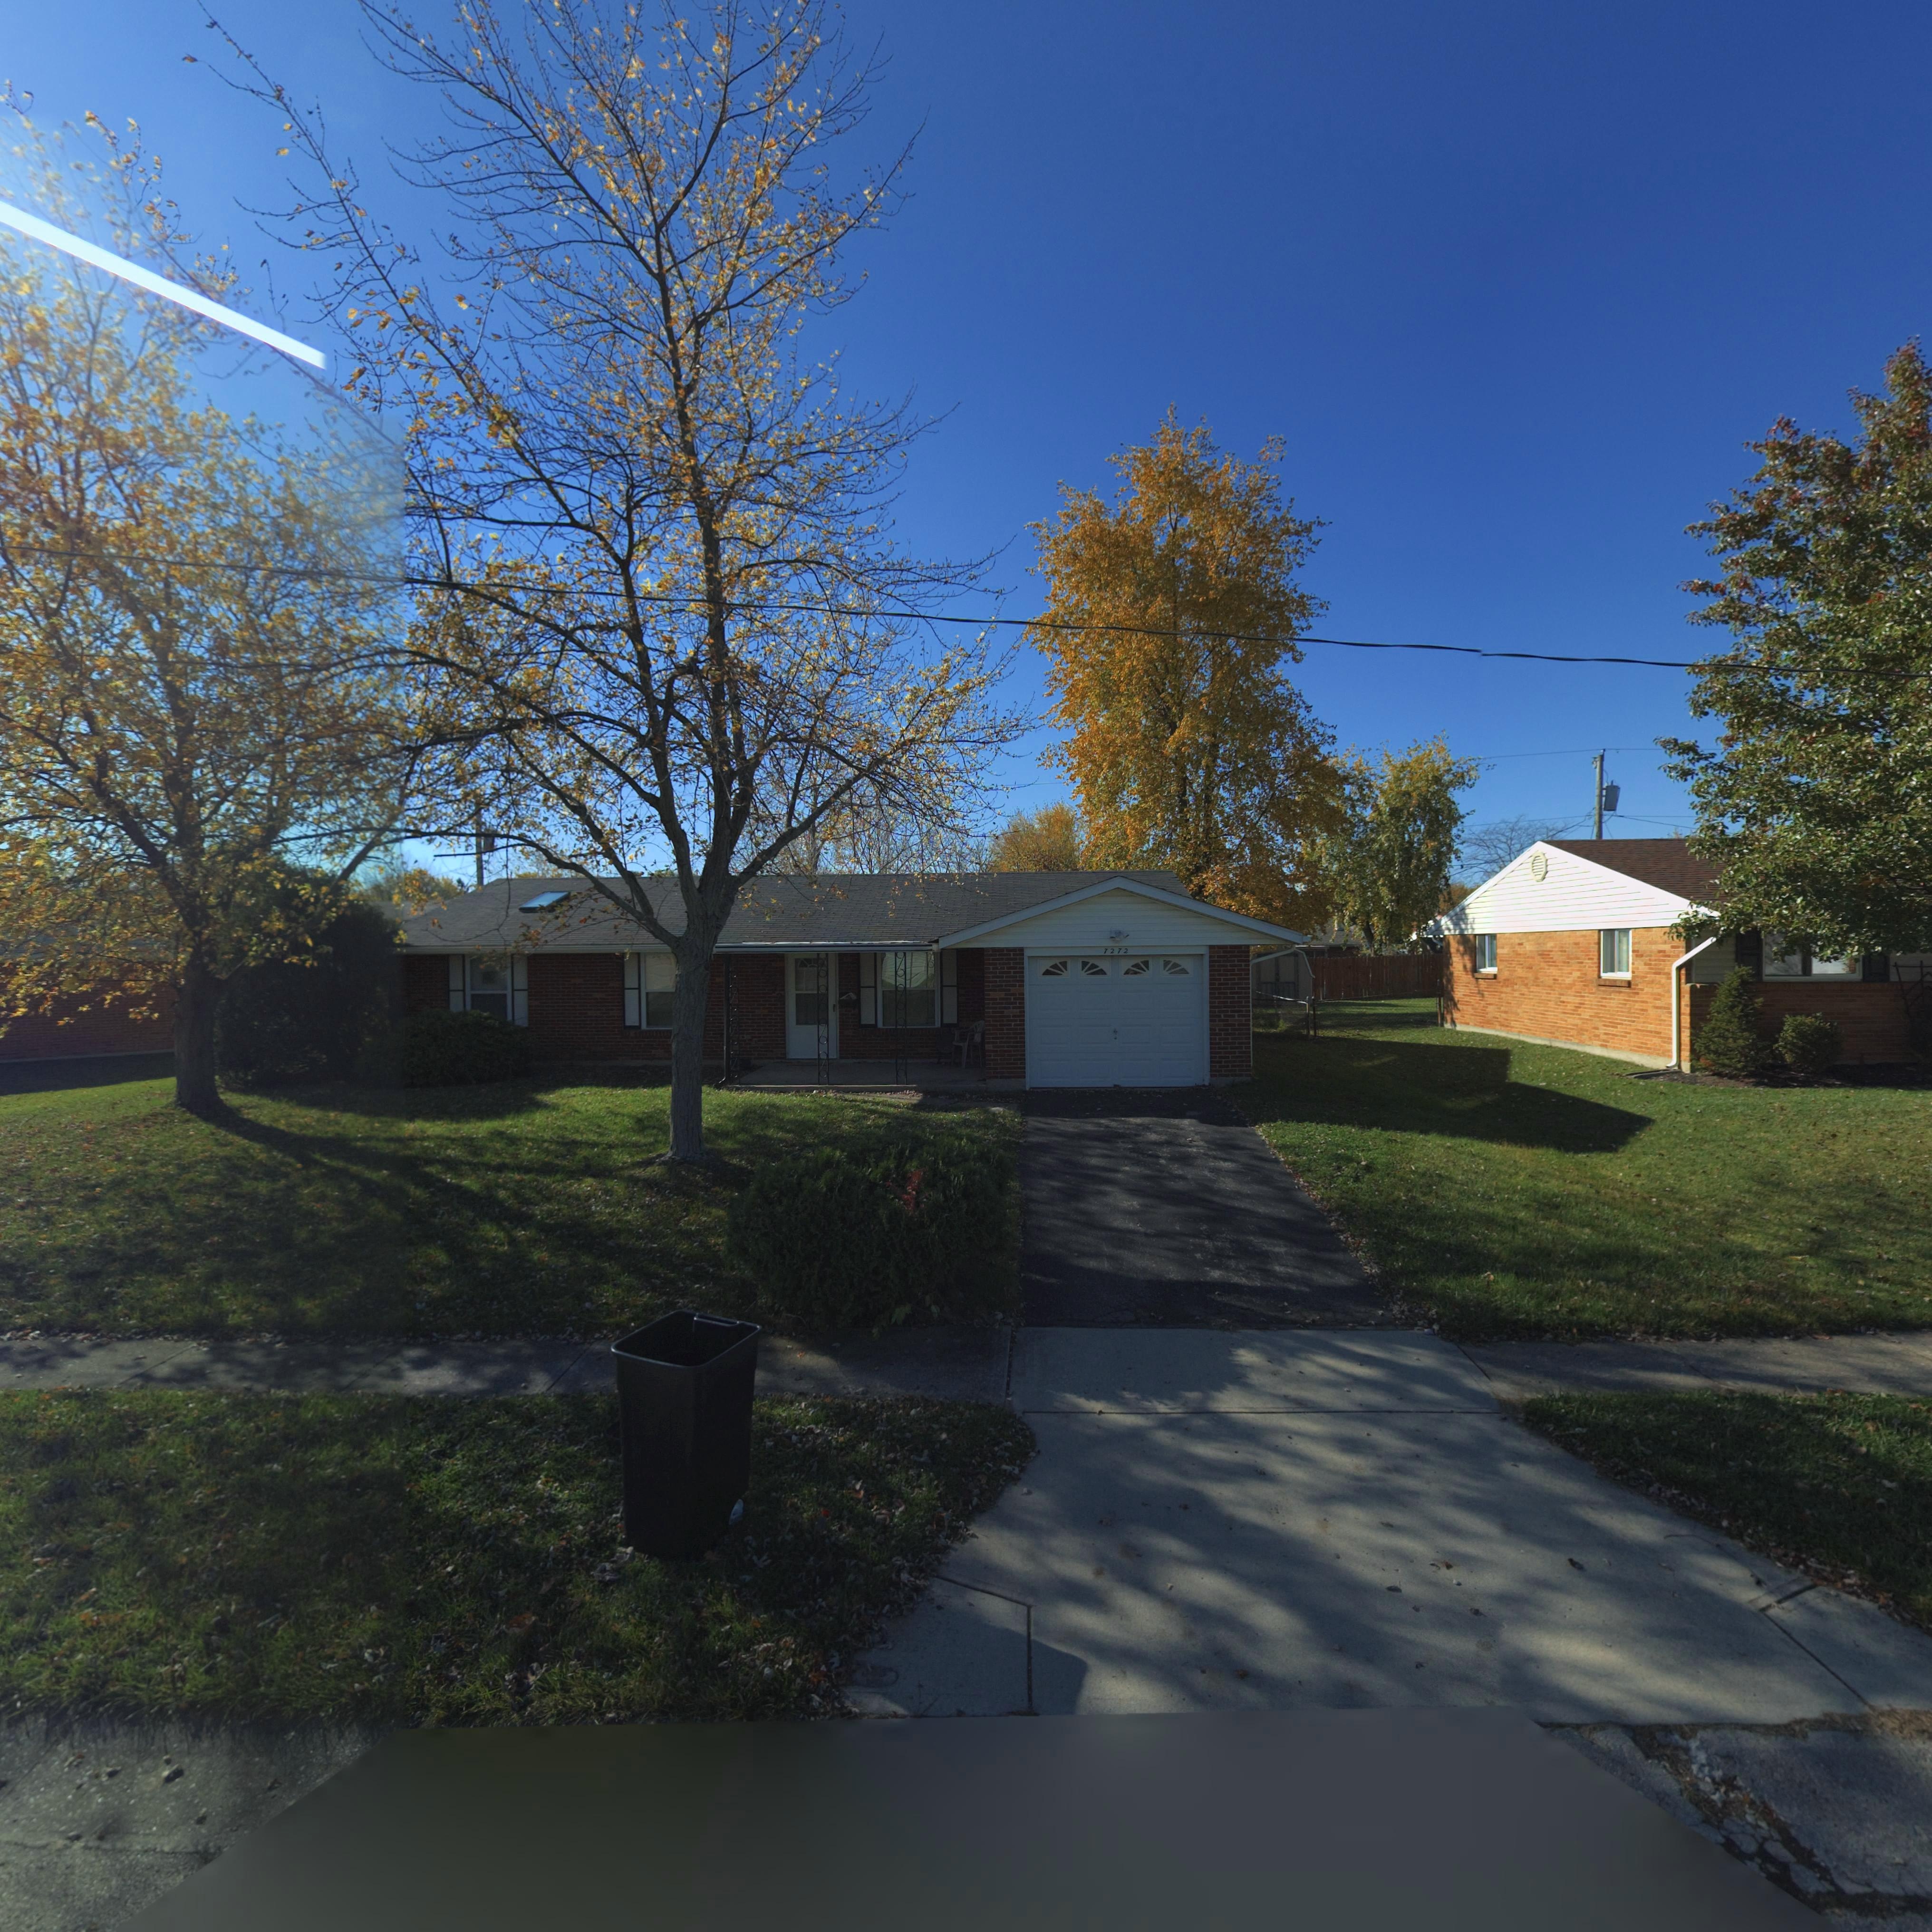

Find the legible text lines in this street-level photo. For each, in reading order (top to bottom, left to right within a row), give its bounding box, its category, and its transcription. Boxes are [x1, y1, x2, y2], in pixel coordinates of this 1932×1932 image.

[1102, 947, 1129, 955] StreetNumber: 7272